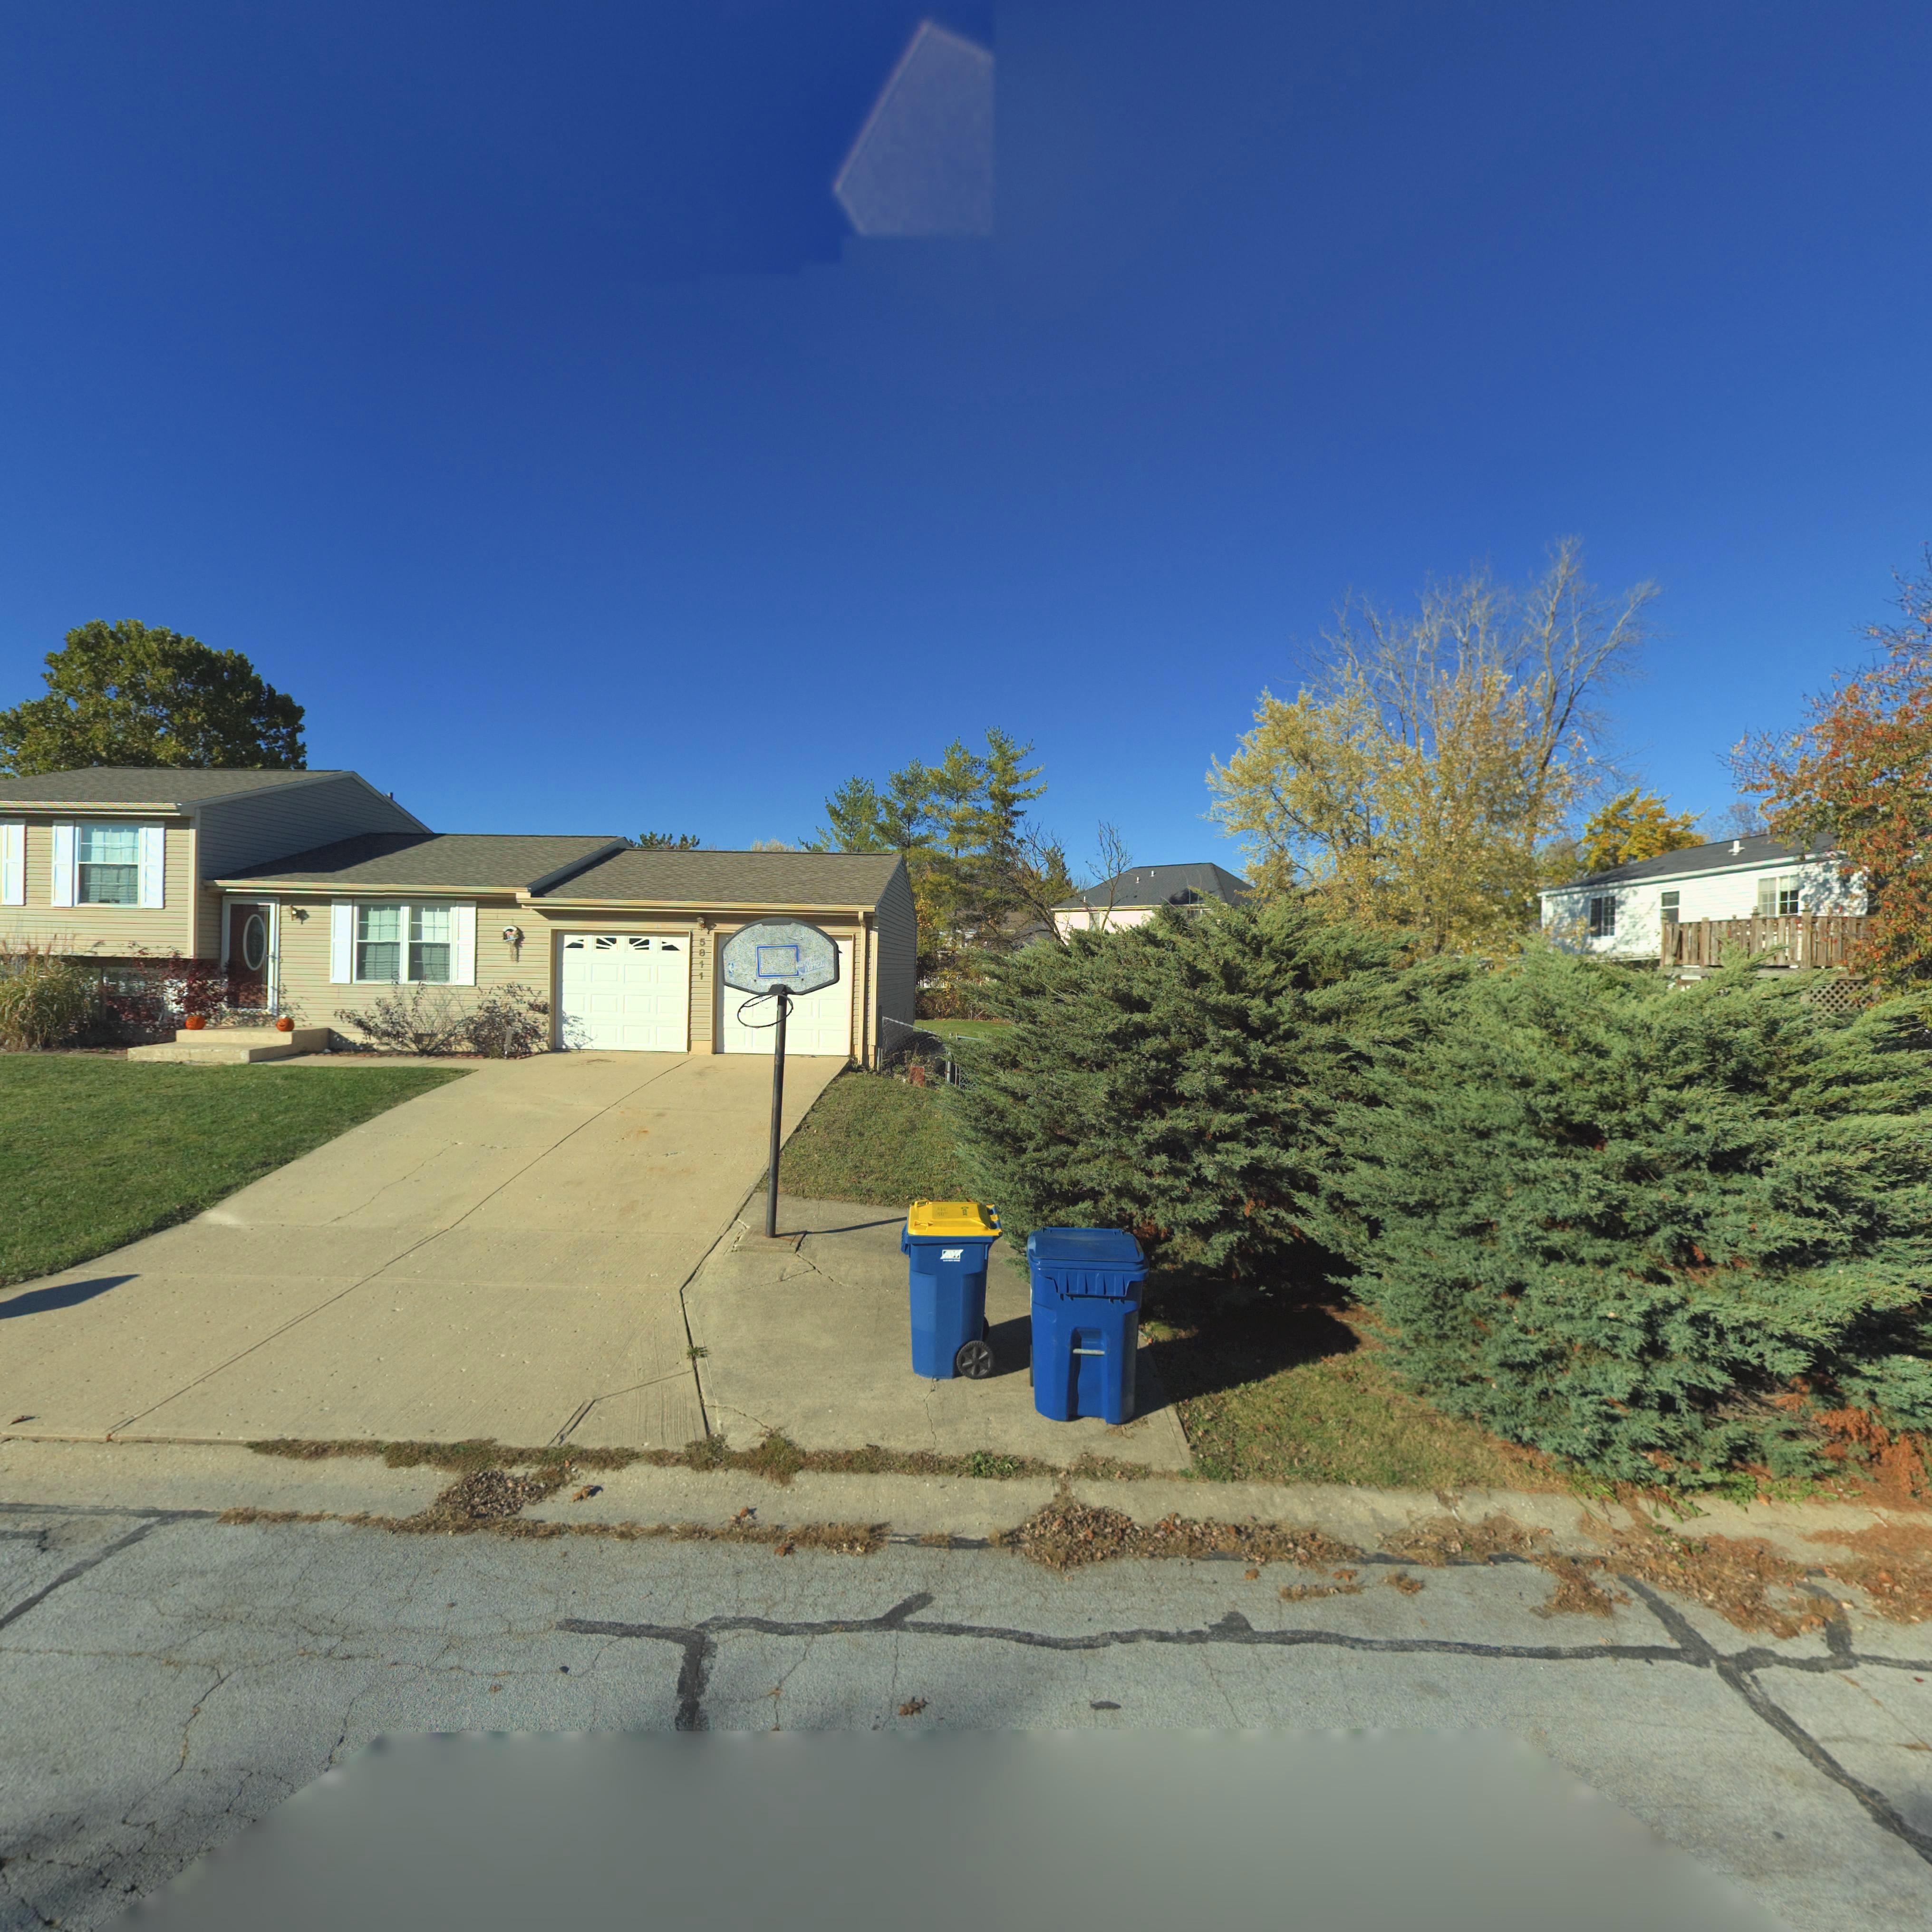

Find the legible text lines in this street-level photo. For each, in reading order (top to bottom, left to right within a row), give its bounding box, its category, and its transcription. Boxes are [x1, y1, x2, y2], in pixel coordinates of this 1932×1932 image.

[698, 937, 706, 981] StreetNumber: 5811